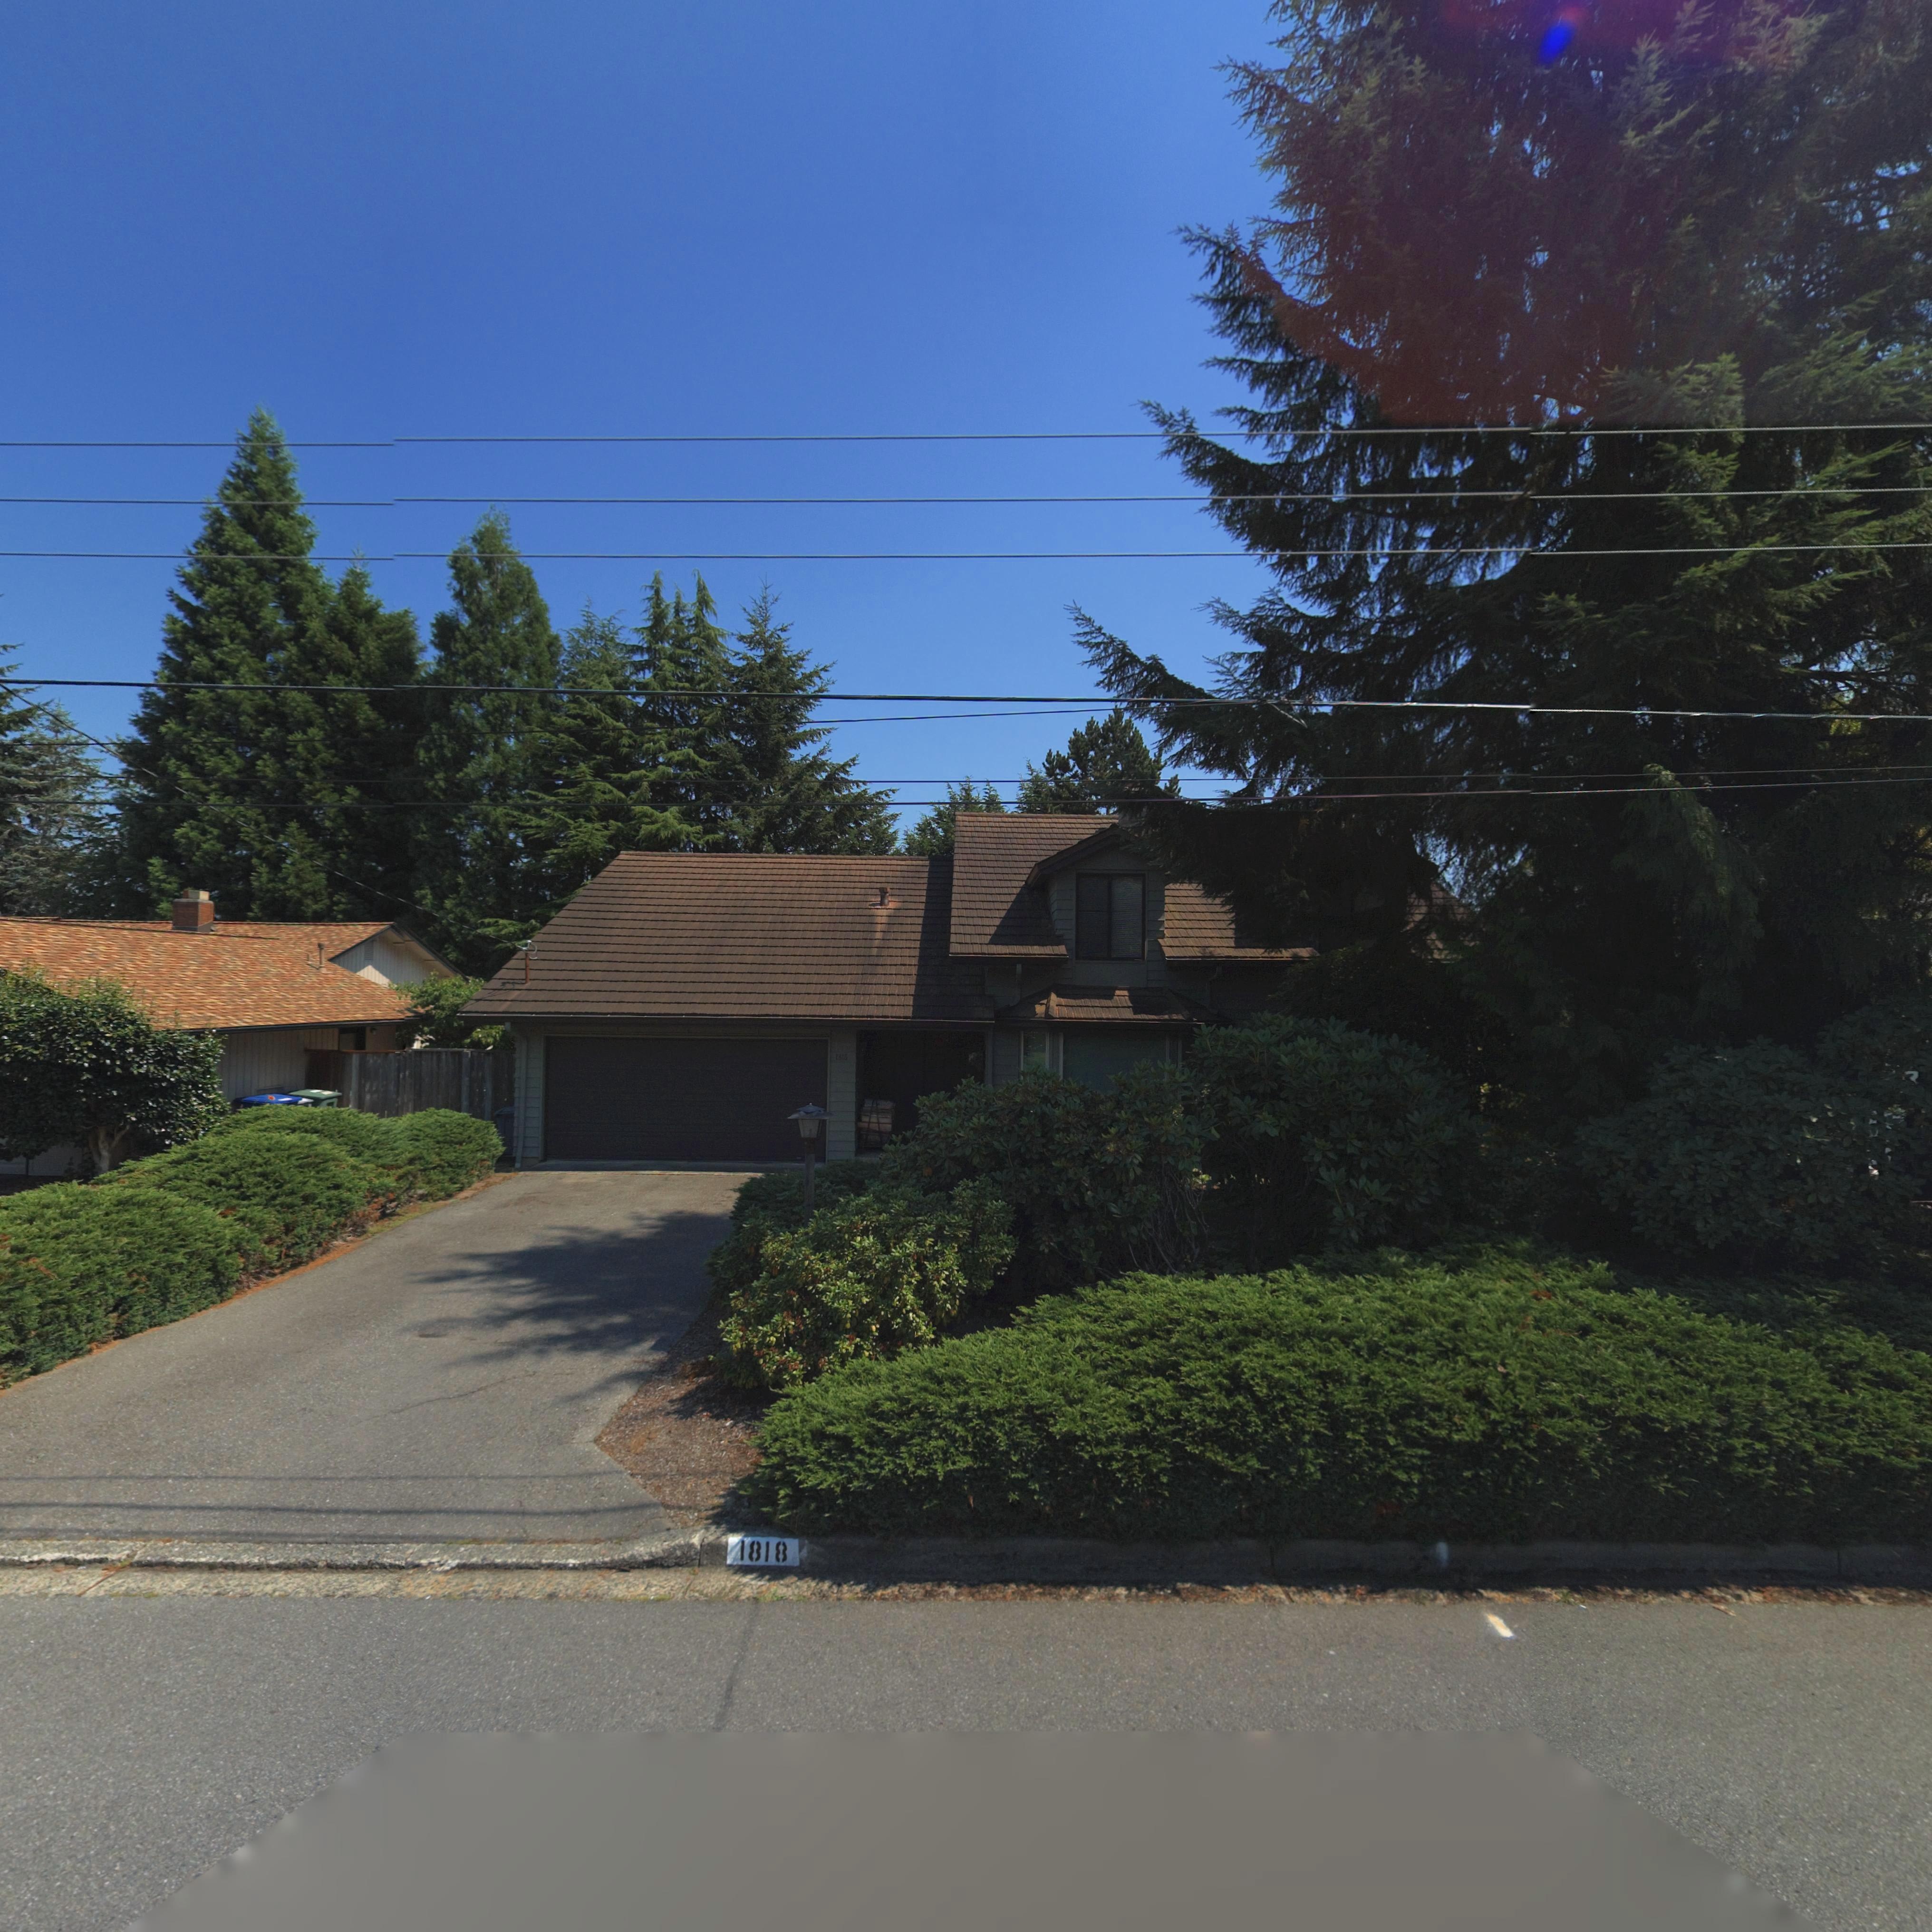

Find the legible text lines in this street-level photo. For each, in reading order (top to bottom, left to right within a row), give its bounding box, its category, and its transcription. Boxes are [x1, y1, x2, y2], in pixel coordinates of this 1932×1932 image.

[835, 1053, 849, 1061] StreetNumber: 181*
[738, 1539, 788, 1563] StreetNumber: 1818